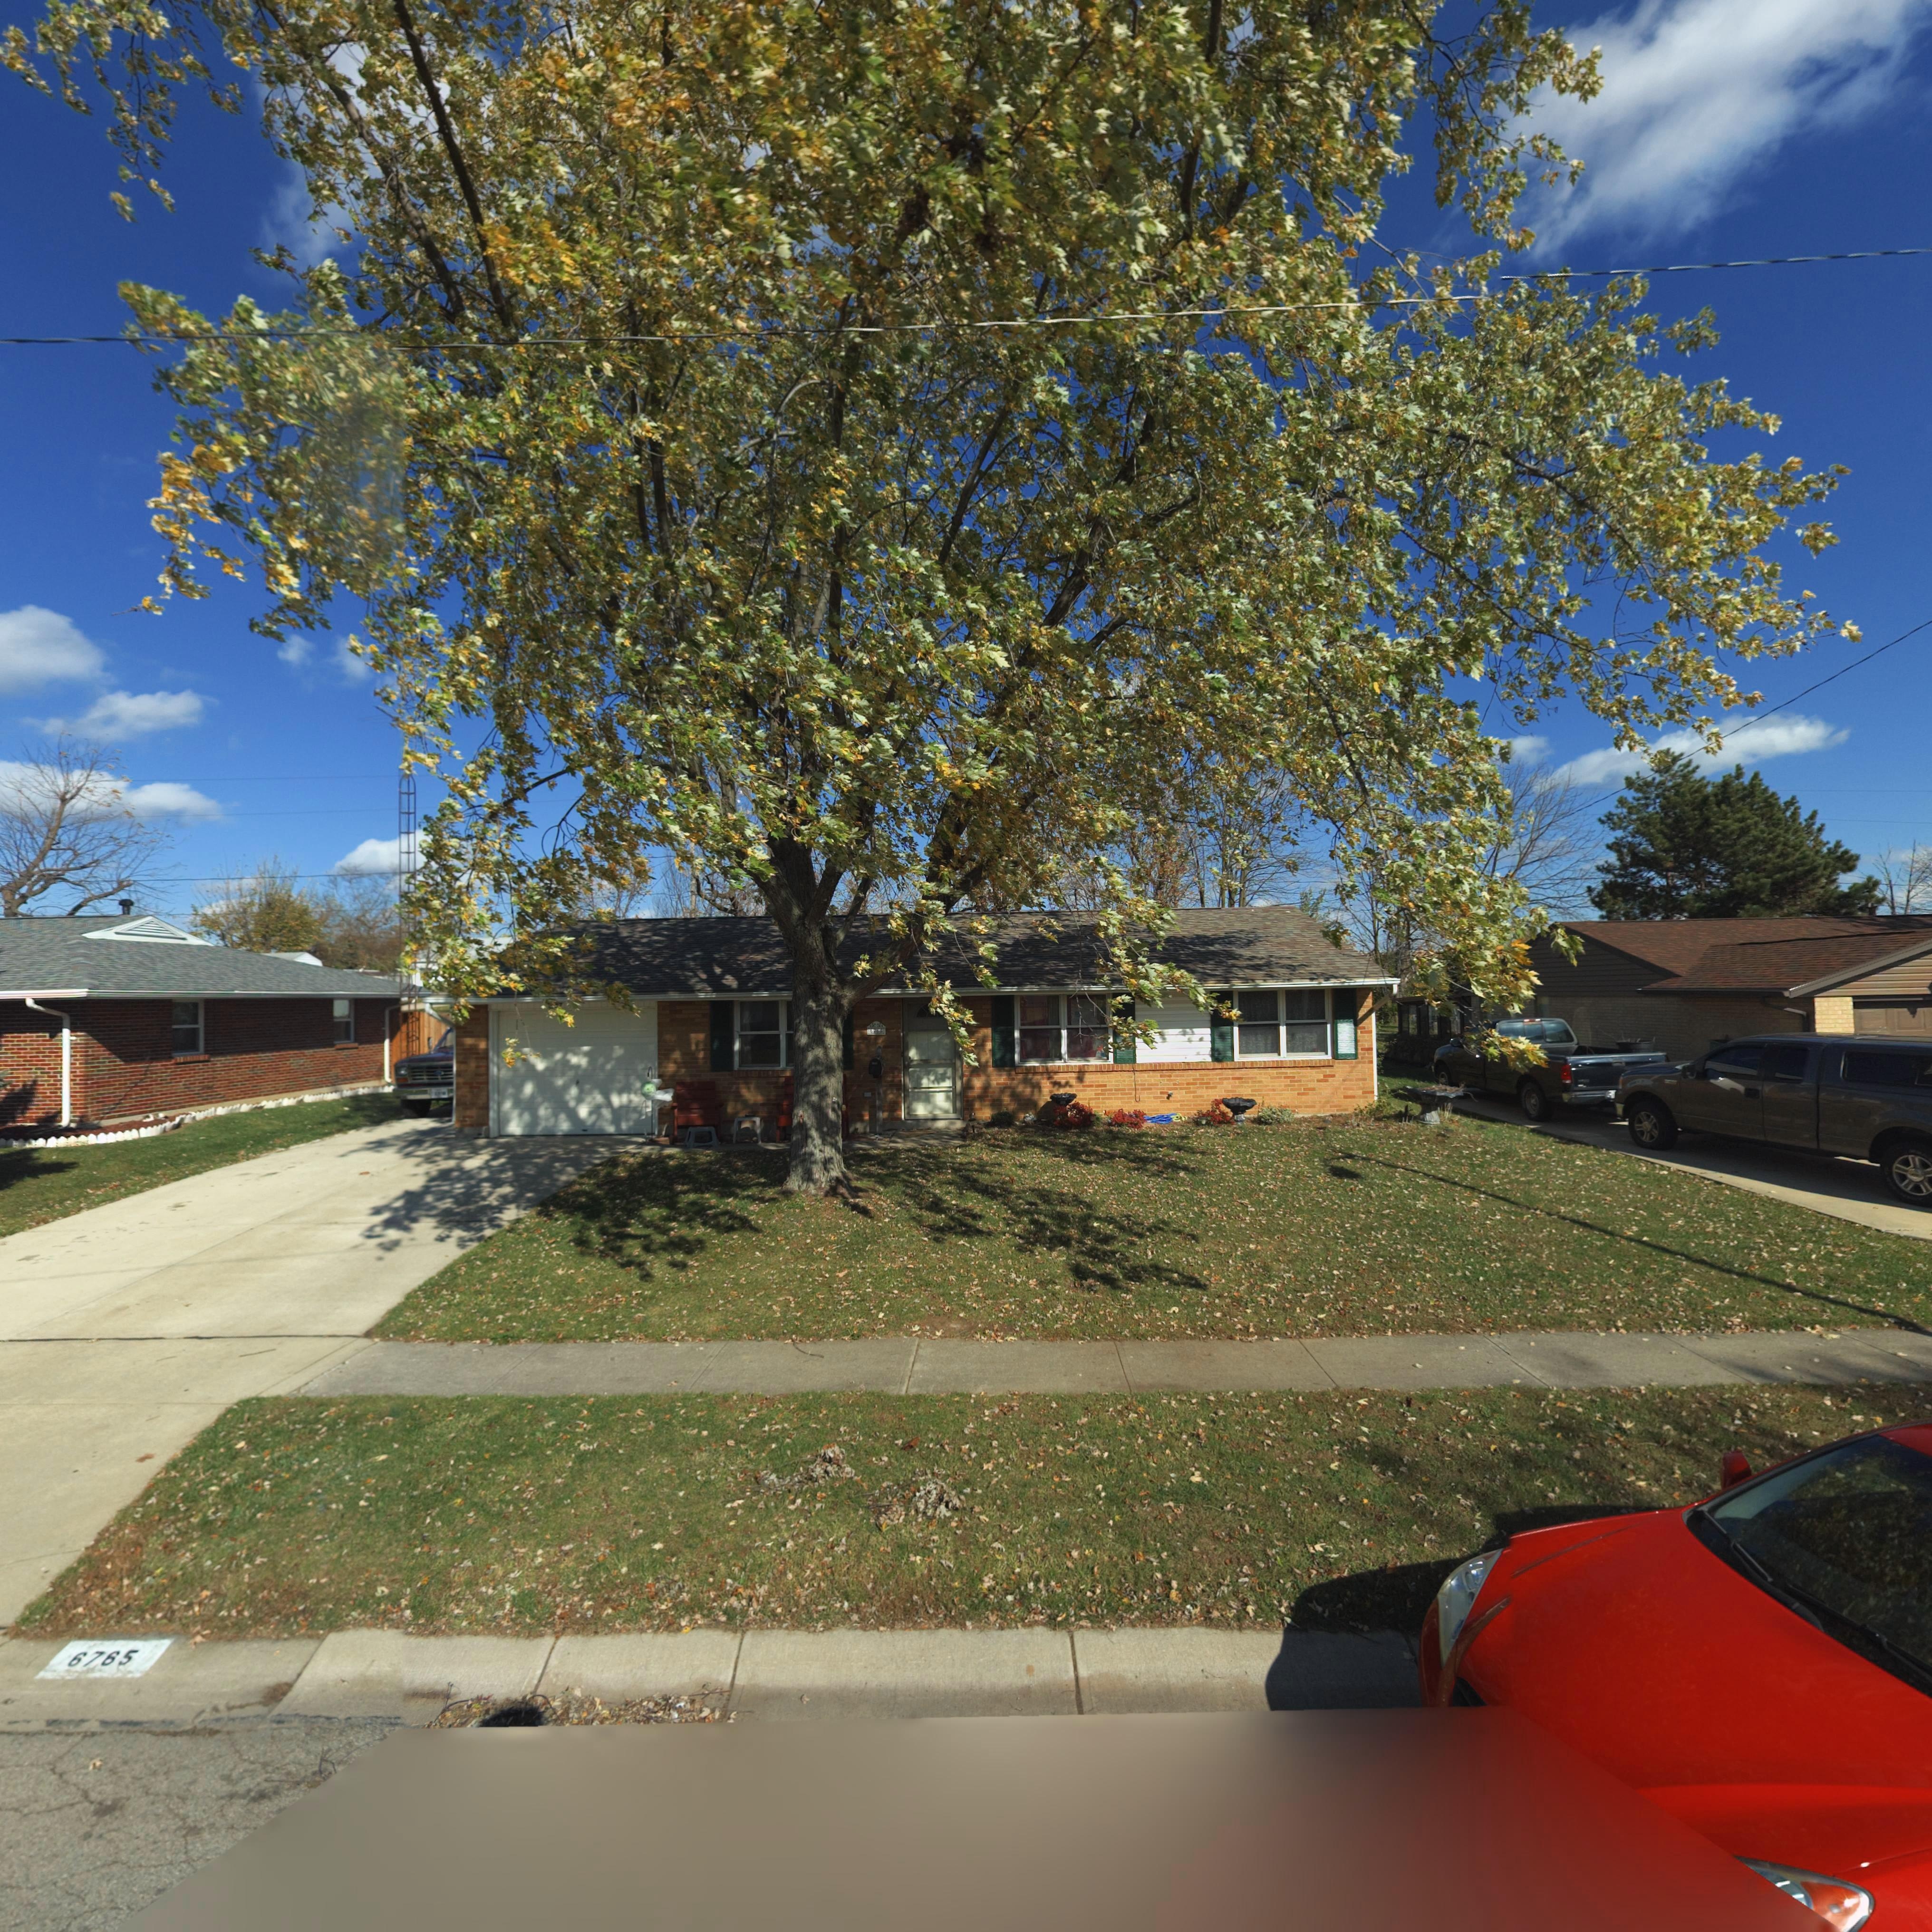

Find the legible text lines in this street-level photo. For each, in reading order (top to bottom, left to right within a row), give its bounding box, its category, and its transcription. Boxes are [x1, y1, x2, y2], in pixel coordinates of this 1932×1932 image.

[869, 1027, 884, 1035] StreetNumber: *76*
[65, 1647, 141, 1670] StreetNumber: 6765